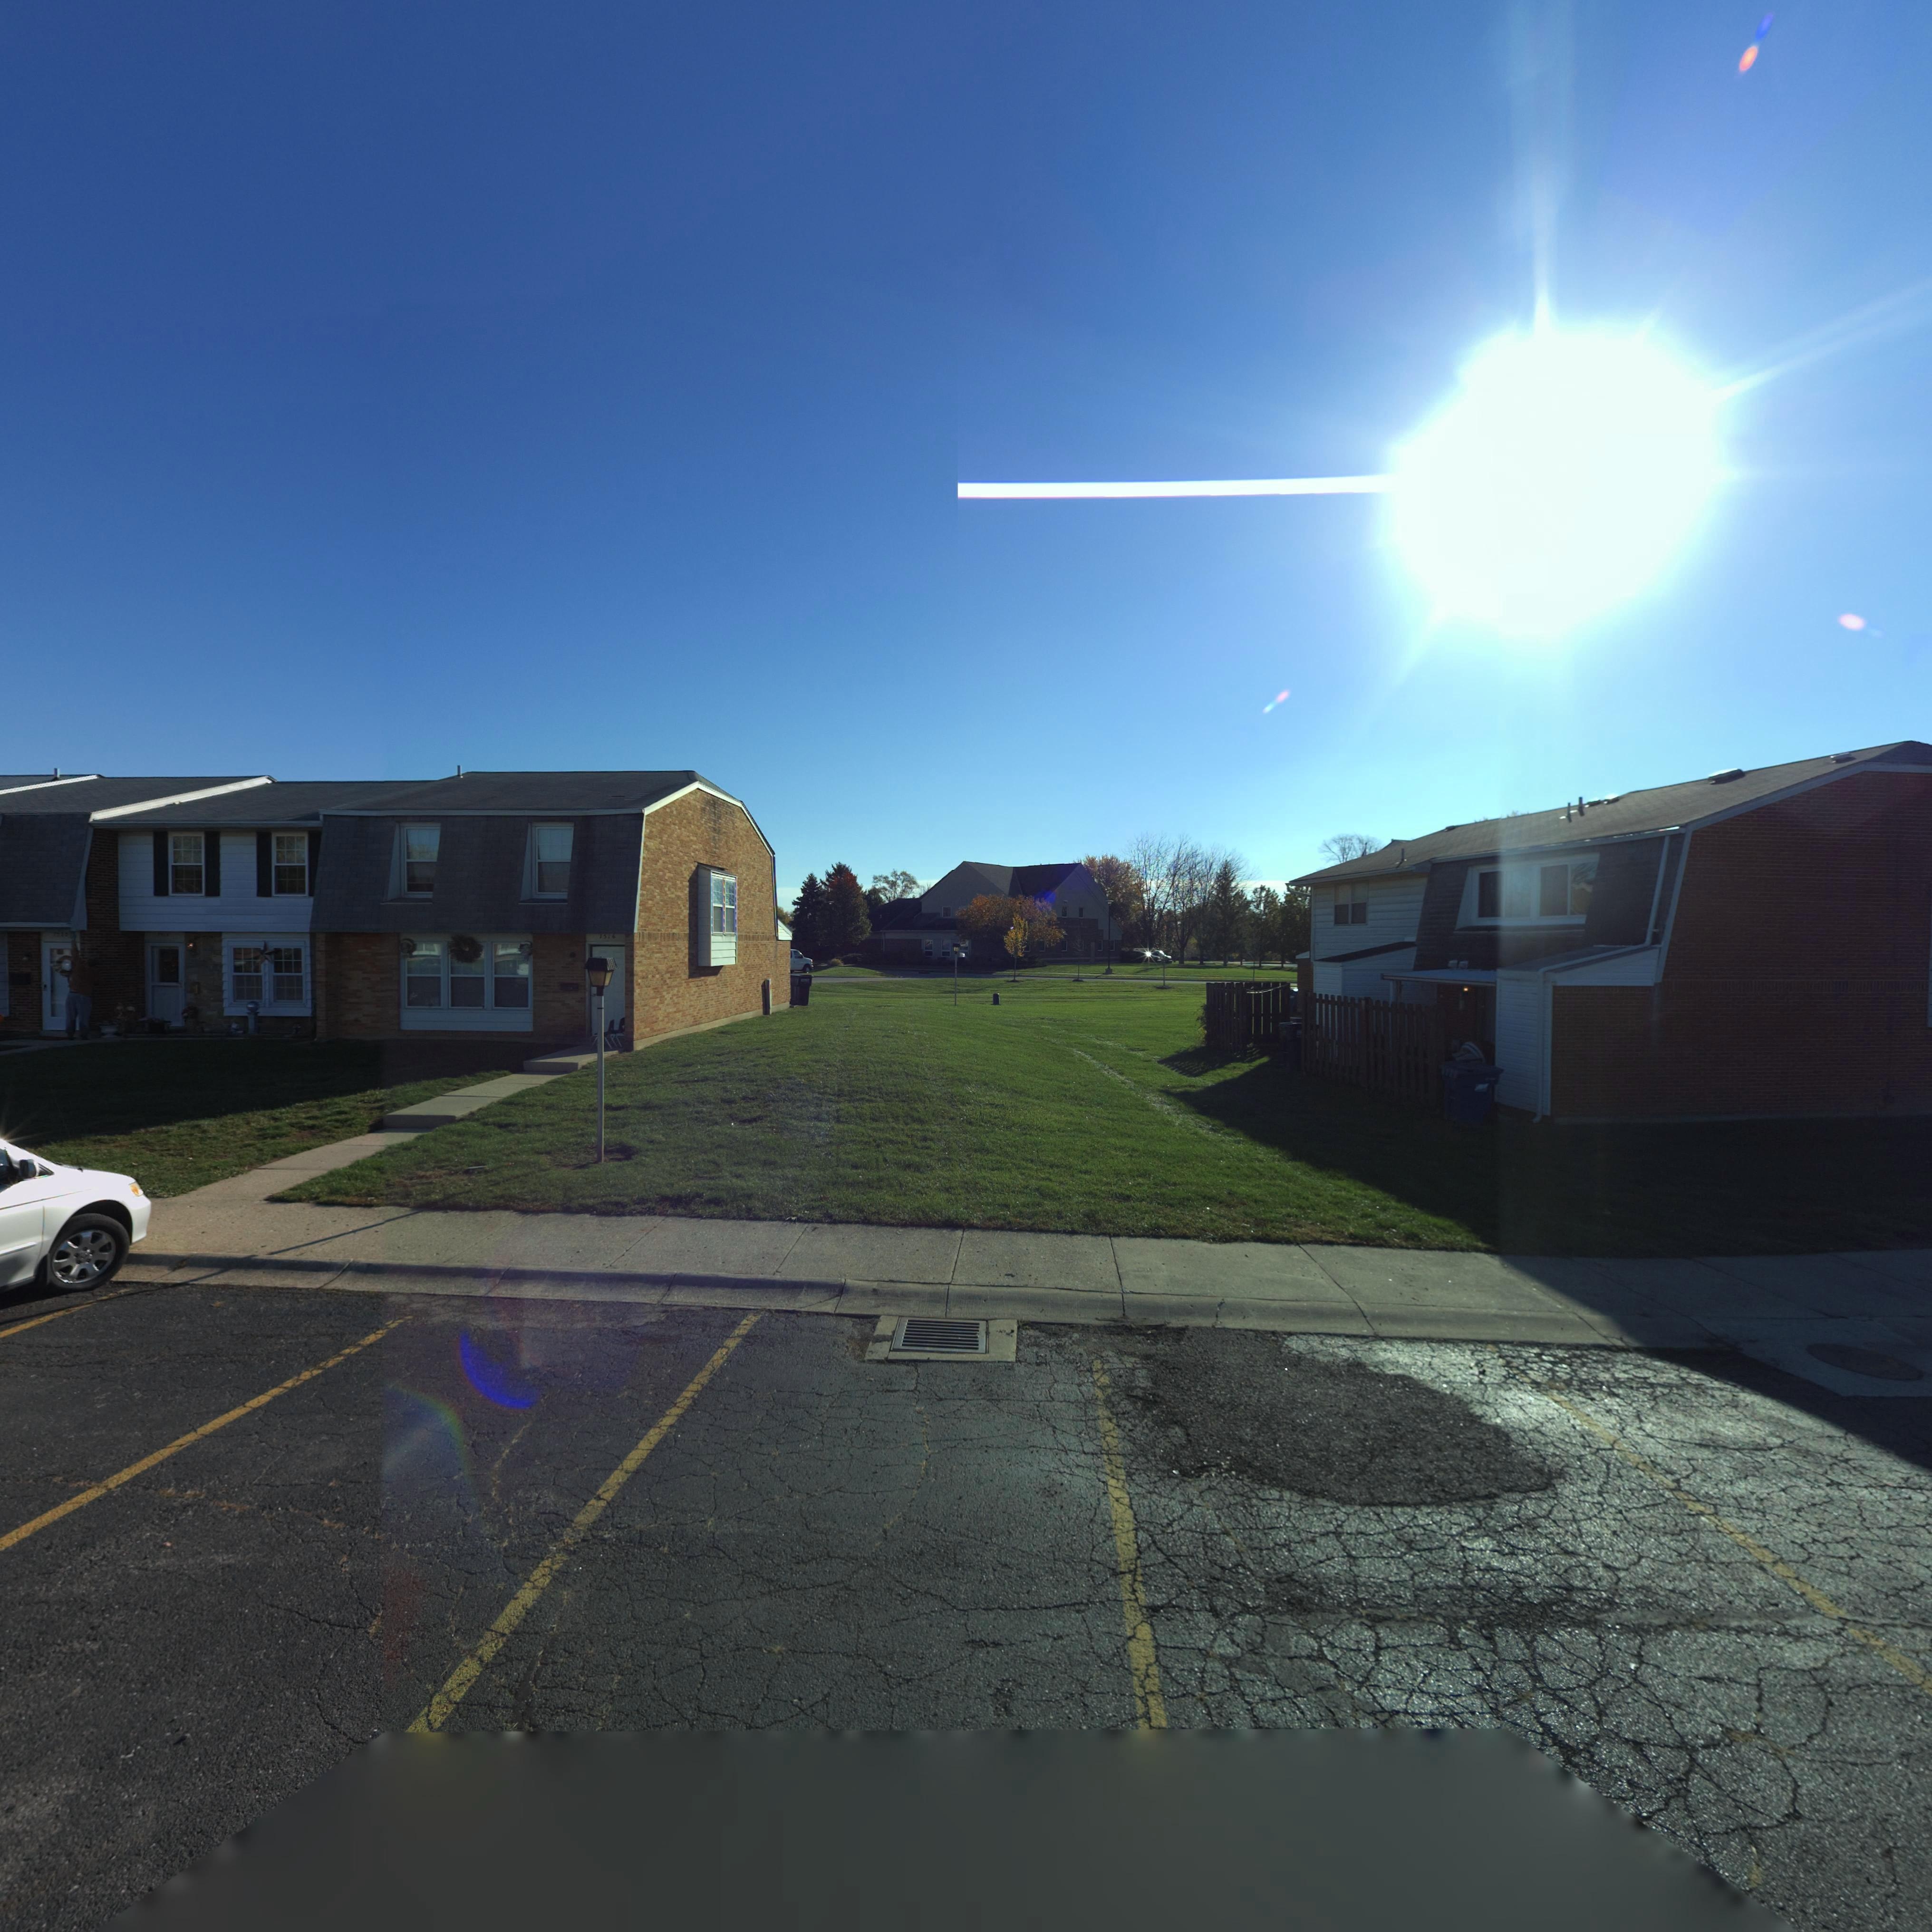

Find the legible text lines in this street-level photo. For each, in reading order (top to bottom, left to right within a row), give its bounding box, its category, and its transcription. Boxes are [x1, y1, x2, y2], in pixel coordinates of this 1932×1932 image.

[52, 932, 69, 937] StreetNumber: 7*20
[156, 932, 170, 938] StreetNumber: 7*18
[599, 933, 616, 939] StreetNumber: 7516